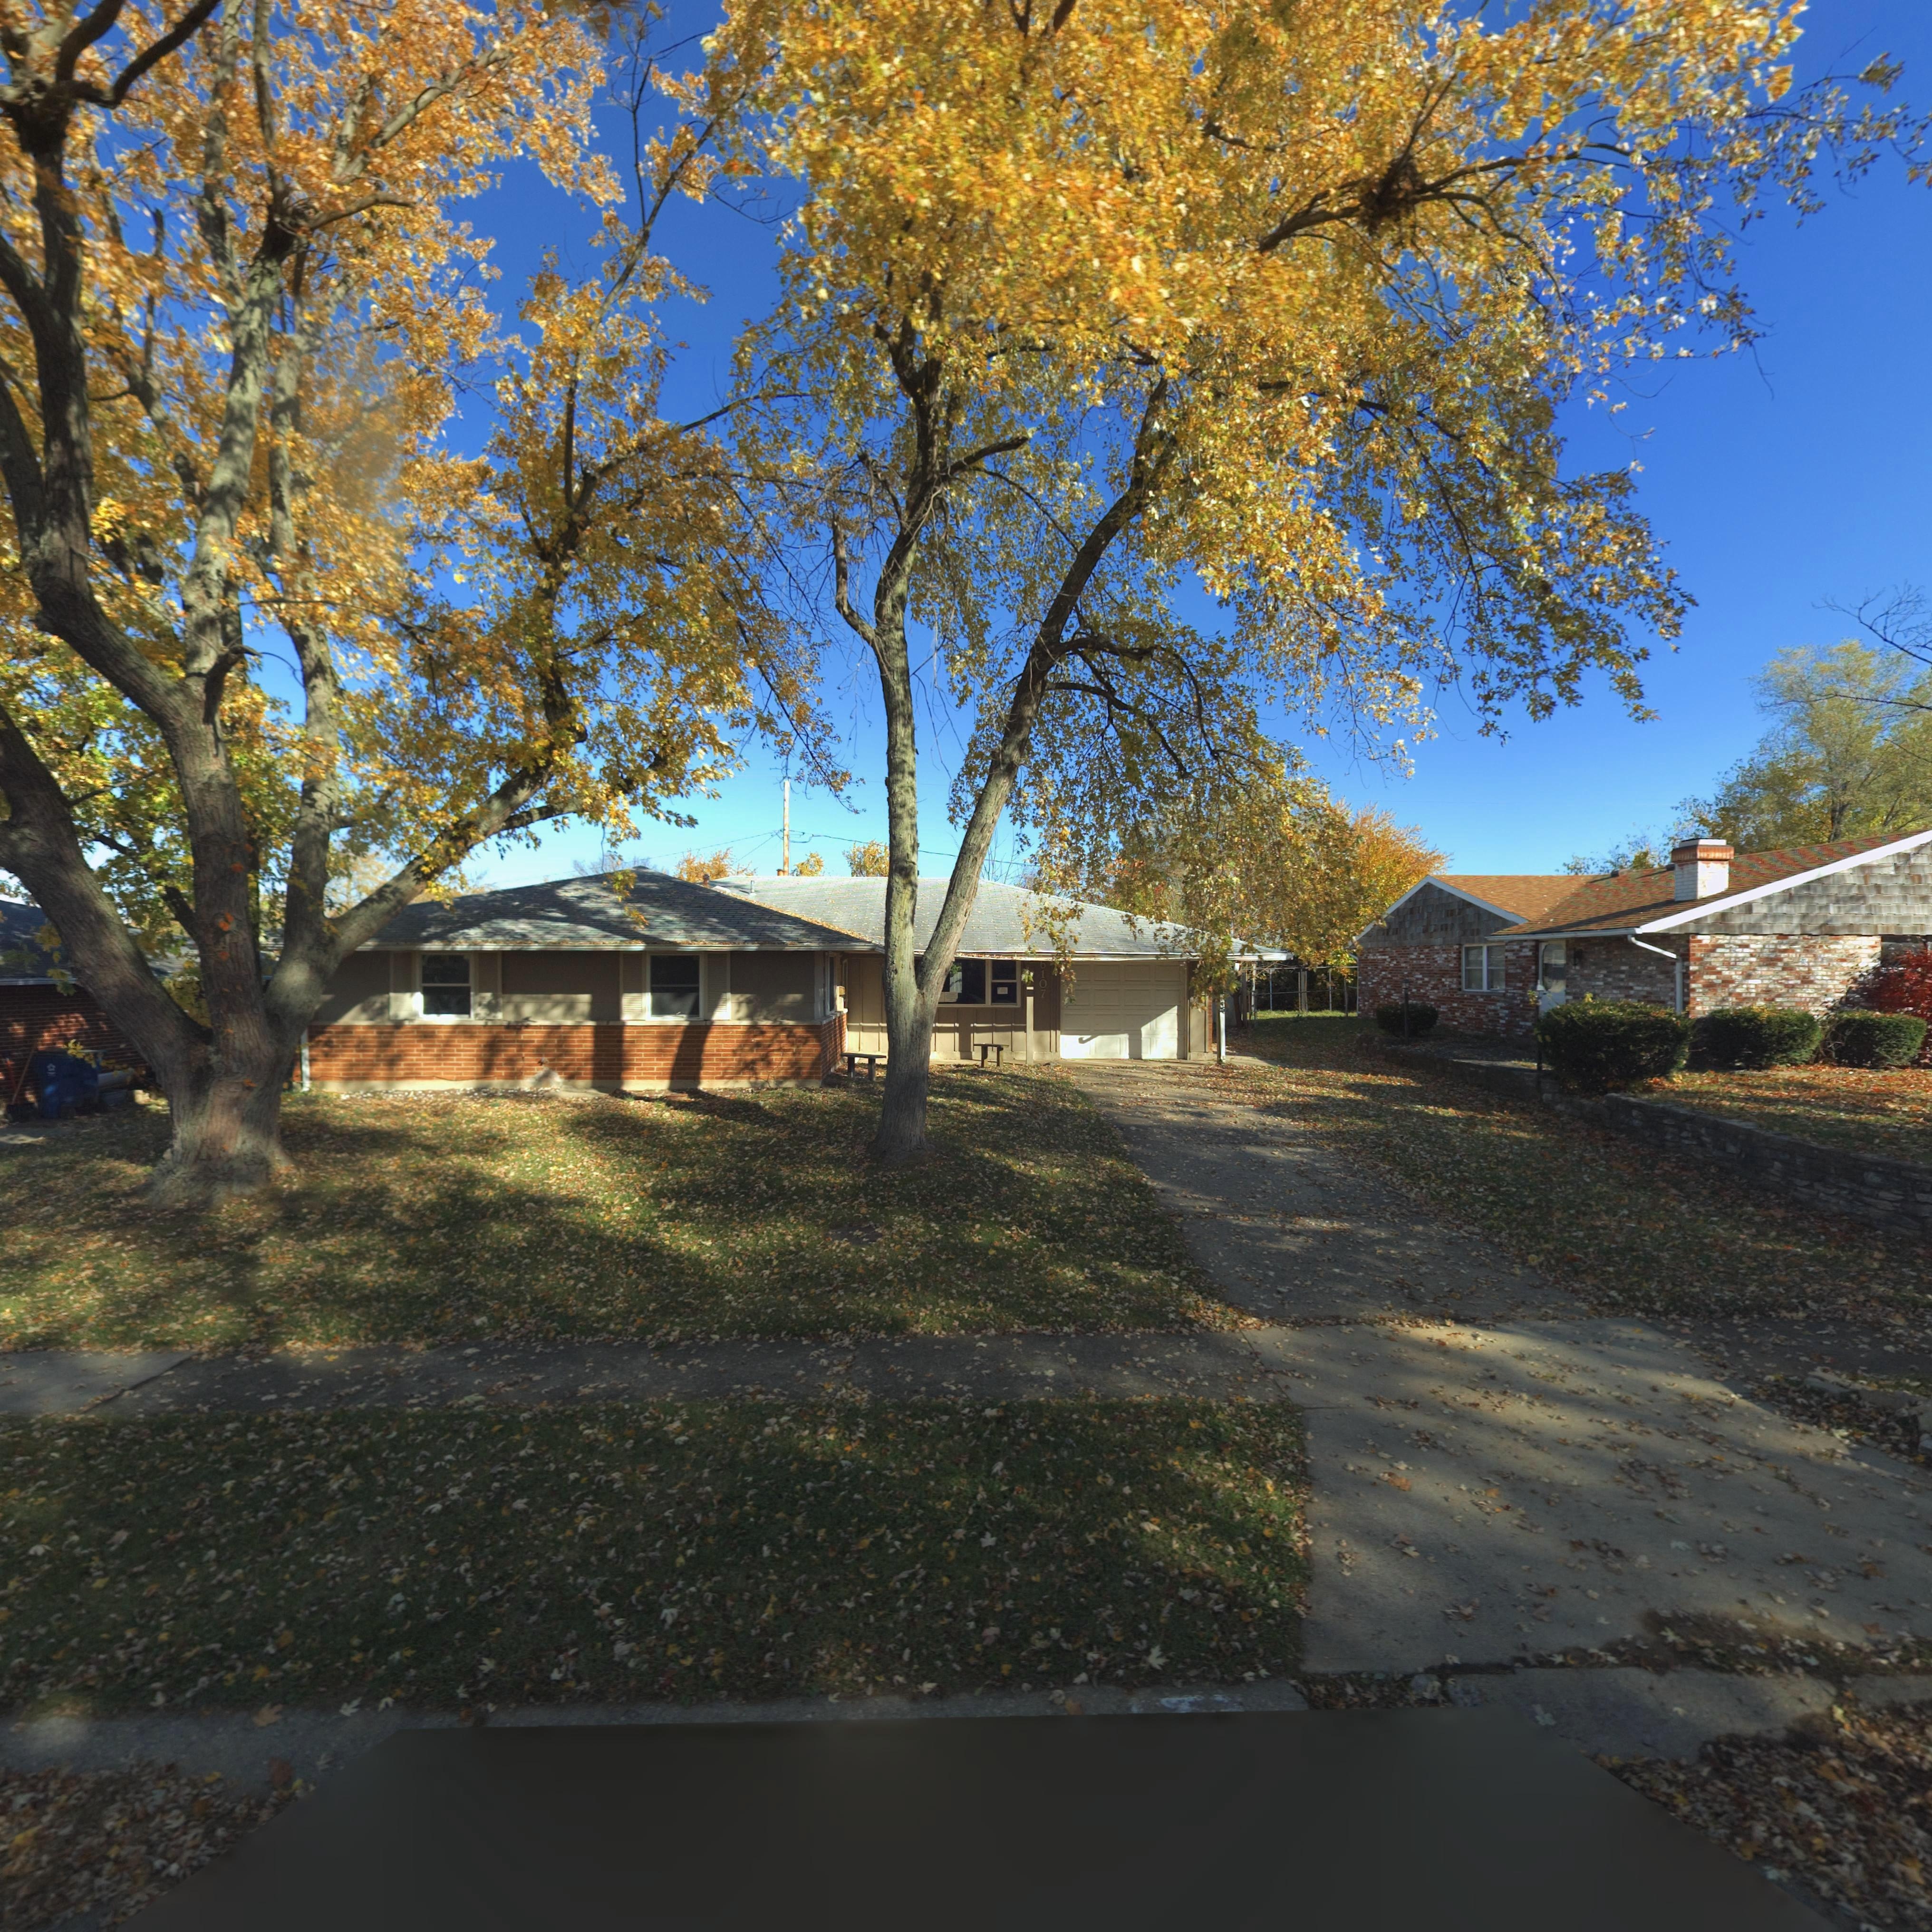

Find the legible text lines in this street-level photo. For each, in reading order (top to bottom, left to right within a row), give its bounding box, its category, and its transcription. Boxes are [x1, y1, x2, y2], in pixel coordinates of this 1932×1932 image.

[1038, 969, 1048, 999] StreetNumber: 107